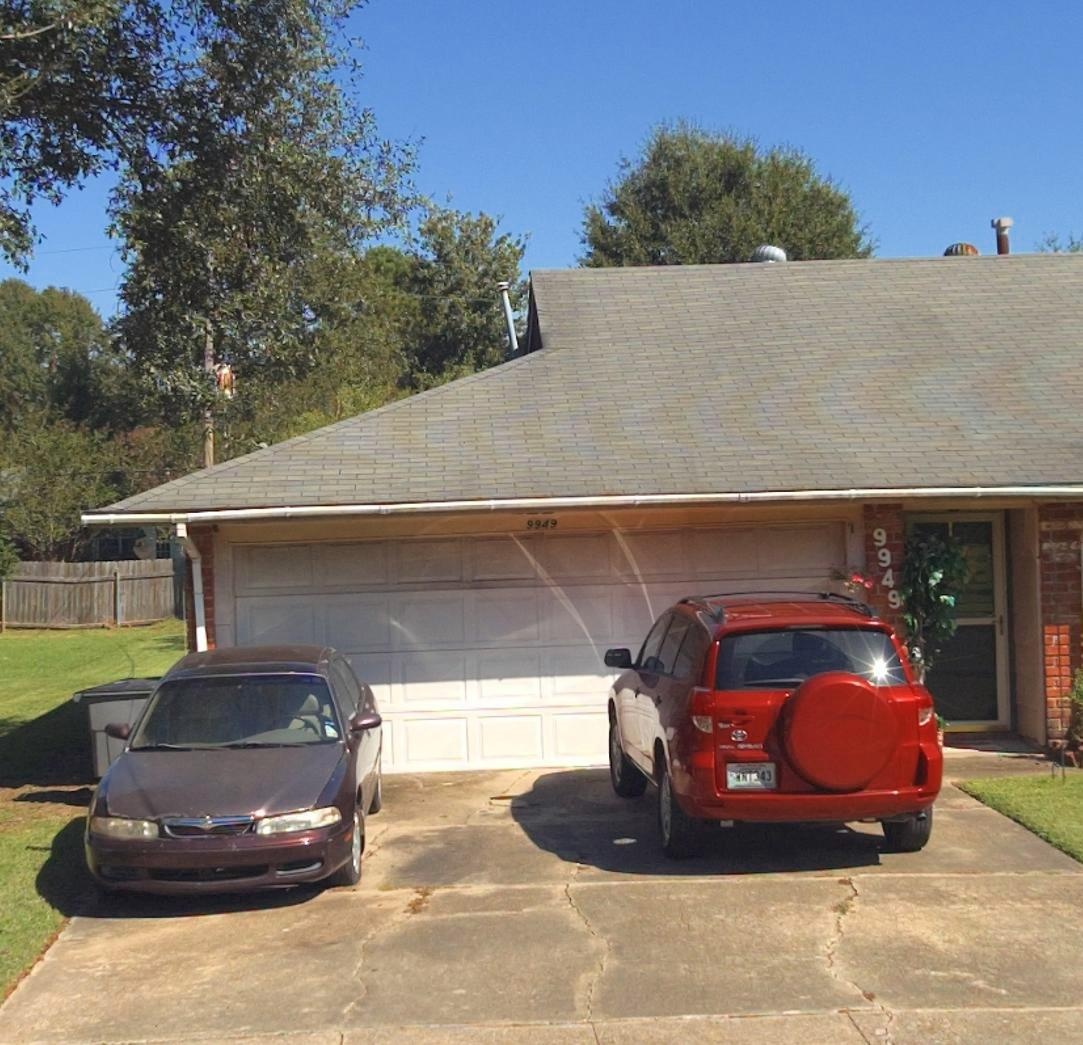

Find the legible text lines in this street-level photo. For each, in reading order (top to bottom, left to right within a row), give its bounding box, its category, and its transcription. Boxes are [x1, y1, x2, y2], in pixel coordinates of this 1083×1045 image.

[525, 519, 558, 530] StreetNumber: 9949
[871, 526, 905, 611] StreetNumber: 9949
[731, 770, 772, 783] None: WWT343